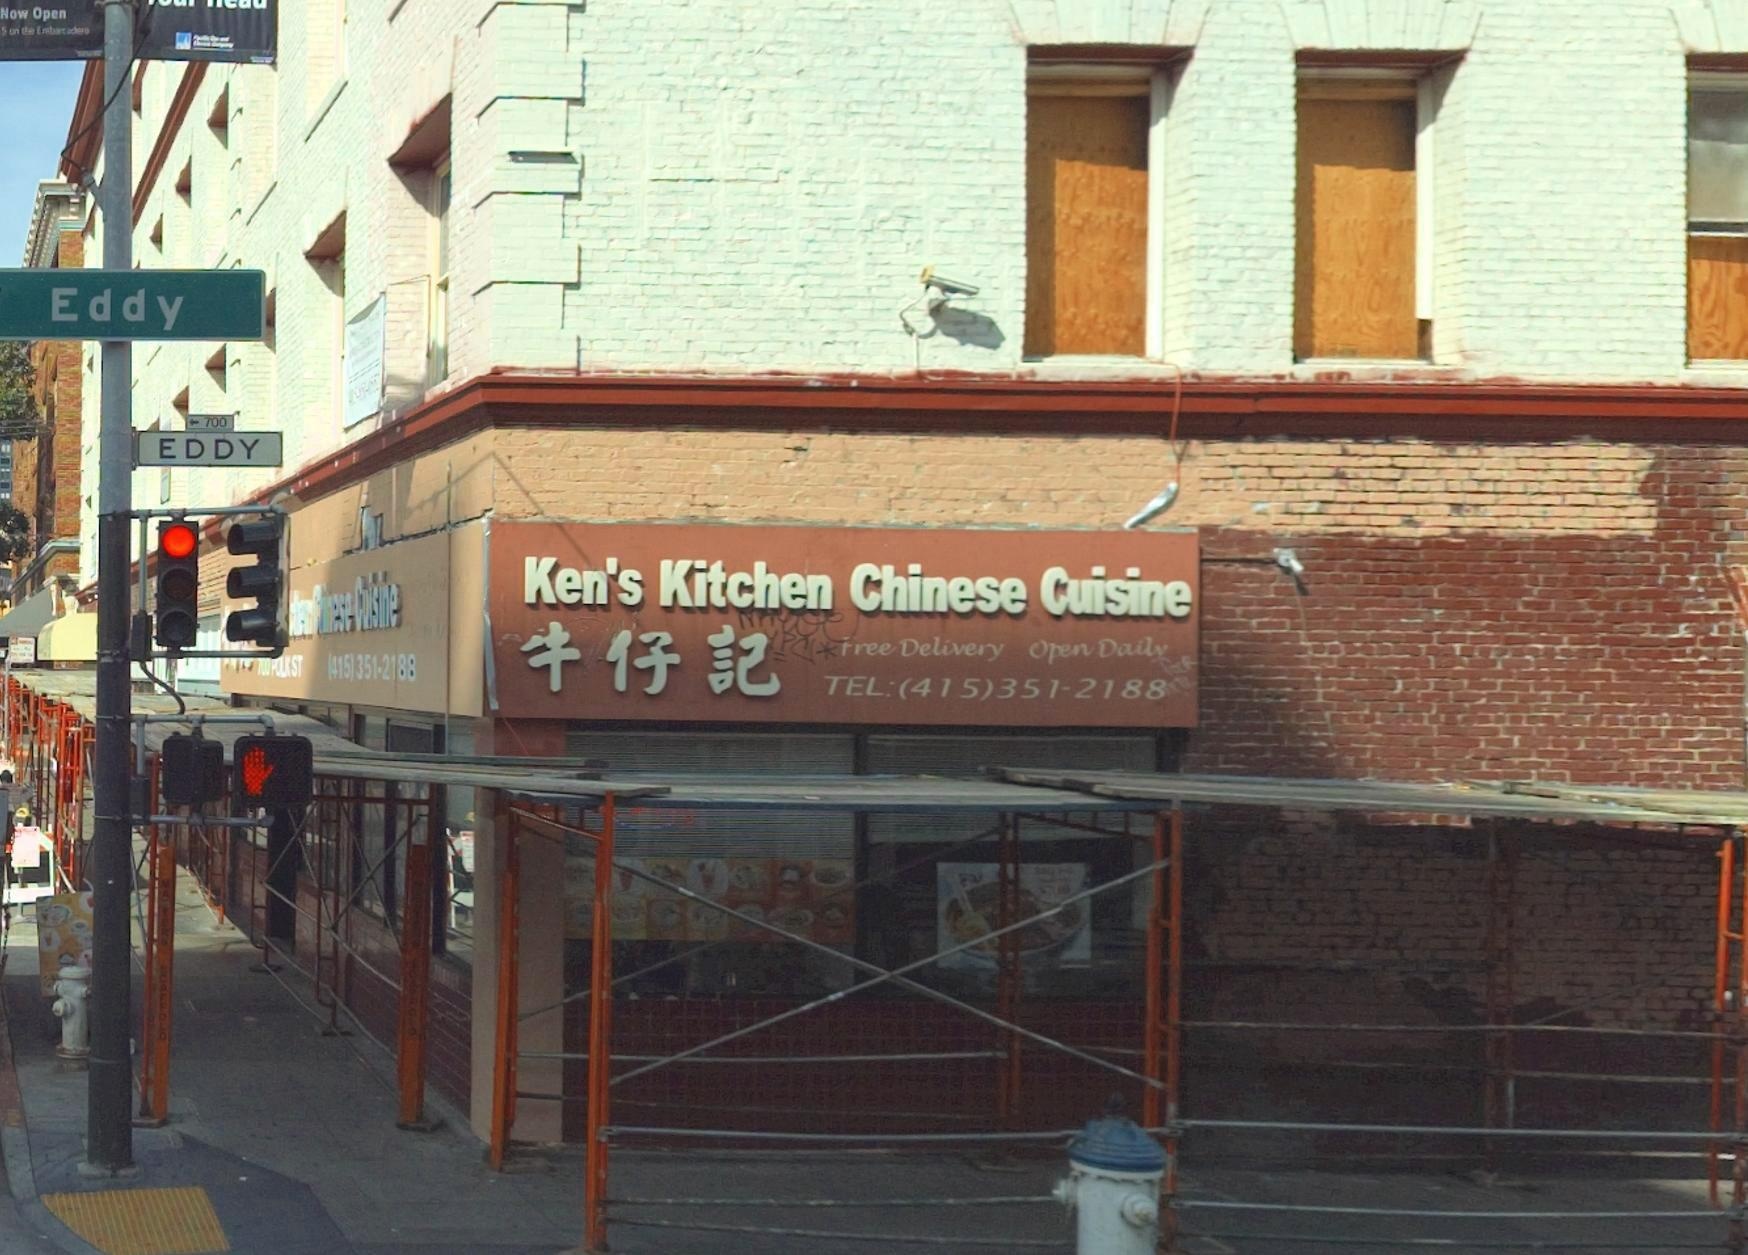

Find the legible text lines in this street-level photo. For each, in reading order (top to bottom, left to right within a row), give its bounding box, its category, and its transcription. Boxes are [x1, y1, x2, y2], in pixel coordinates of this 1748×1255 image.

[0, 4, 69, 24] None: Now Open
[49, 284, 188, 333] StreetName: Eddy
[186, 414, 231, 431] StreetNumberRange: <-700
[158, 435, 264, 462] StreetName: EDDY
[351, 567, 404, 635] BusinessName: Cuisine
[519, 554, 1194, 623] BusinessName: Ken's Kitchen Chinese Cuisine
[289, 652, 306, 680] StreetName: ST
[325, 650, 420, 686] None: (415)351-2188
[838, 633, 1009, 665] None: *ree Delivery
[1024, 631, 1172, 671] None: Open Daily
[818, 671, 1172, 706] None: TEL:(415)351-2188